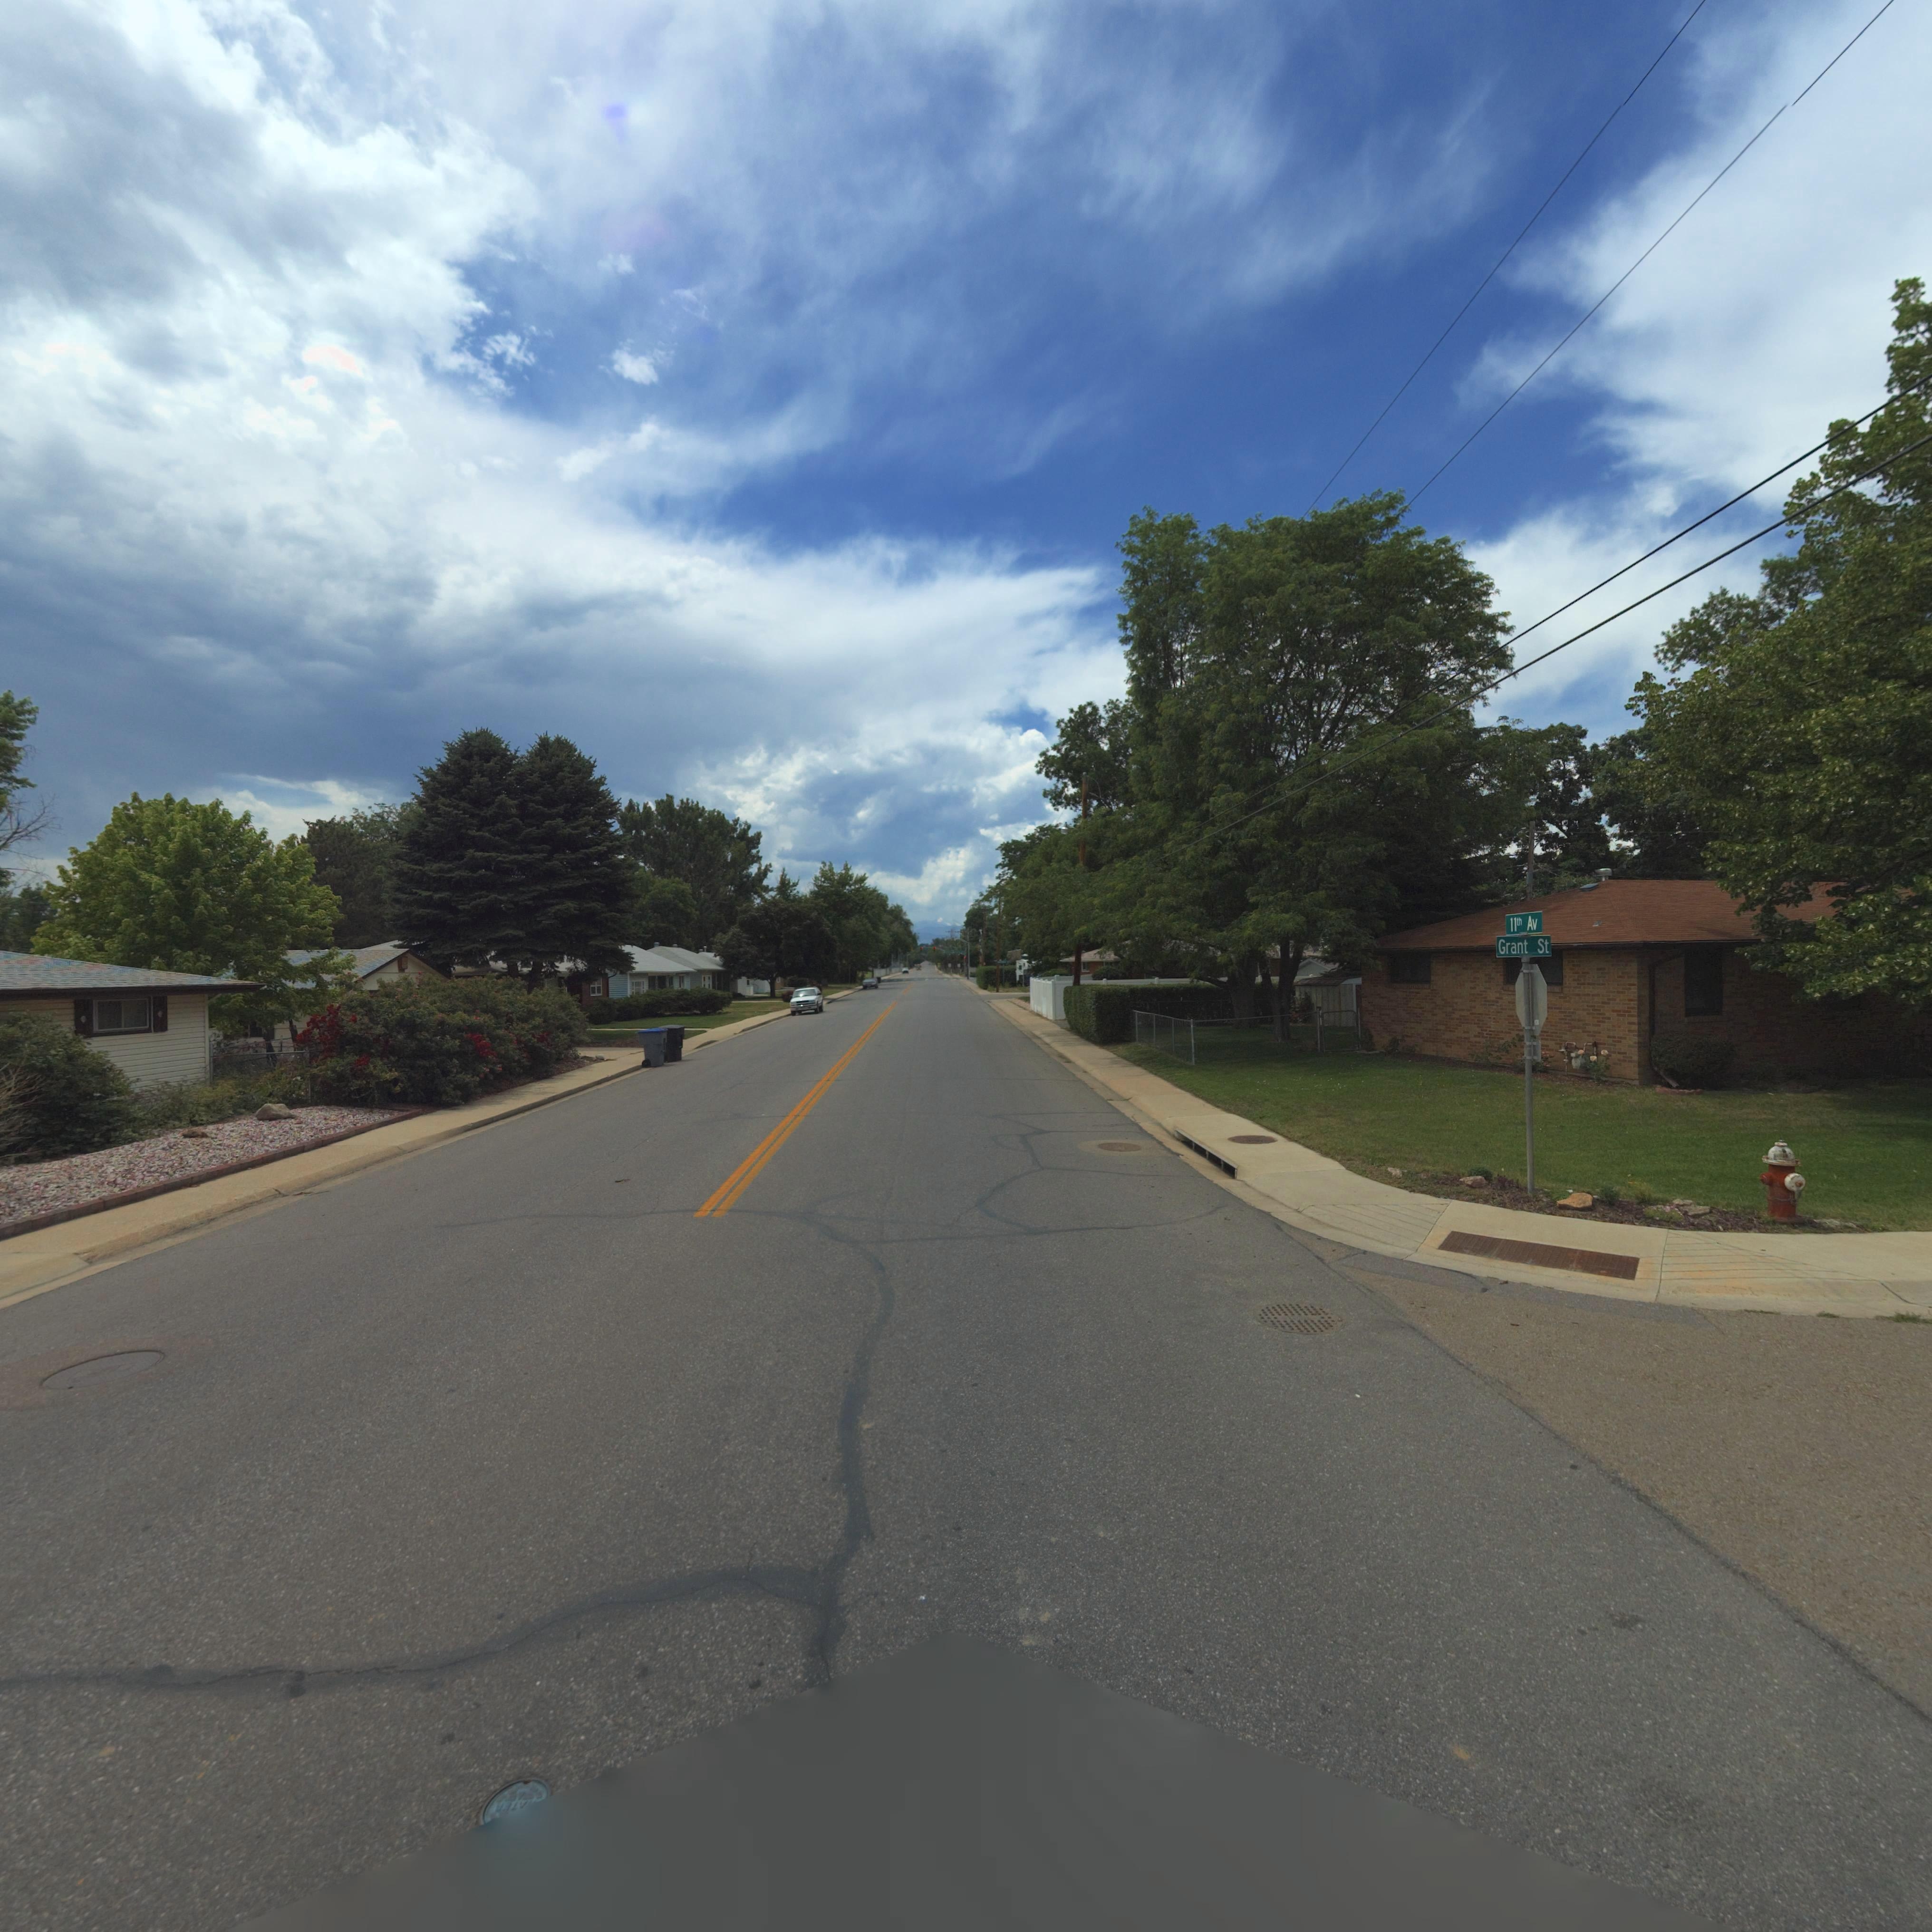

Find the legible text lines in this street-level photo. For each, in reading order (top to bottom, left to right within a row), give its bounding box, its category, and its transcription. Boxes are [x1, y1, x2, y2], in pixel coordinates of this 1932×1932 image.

[1509, 915, 1538, 932] StreetName: 11th Av
[1497, 937, 1550, 955] StreetName: Grant St